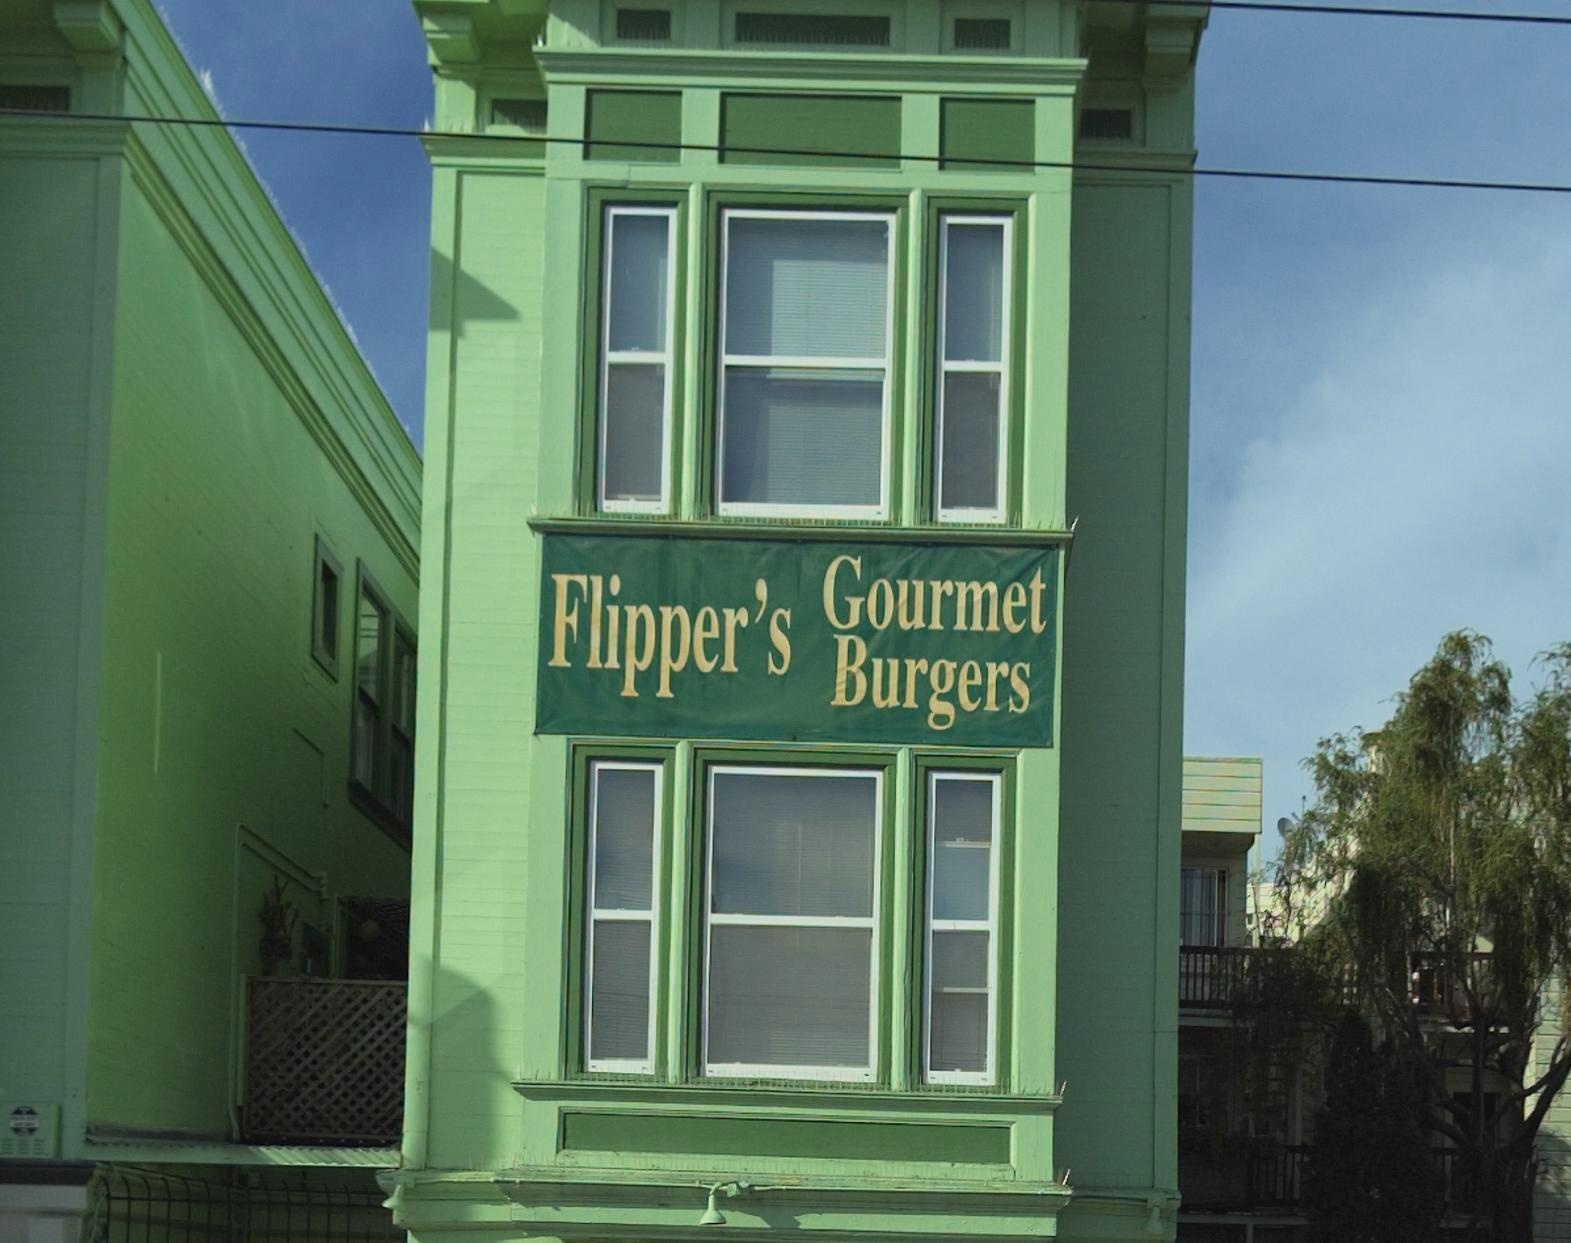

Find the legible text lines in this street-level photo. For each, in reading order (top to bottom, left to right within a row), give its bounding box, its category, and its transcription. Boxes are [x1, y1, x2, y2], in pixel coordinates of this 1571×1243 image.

[542, 570, 797, 702] BusinessName: Flipper's
[827, 630, 1038, 735] BusinessName: Burgers
[818, 548, 1054, 639] BusinessName: Gourmet